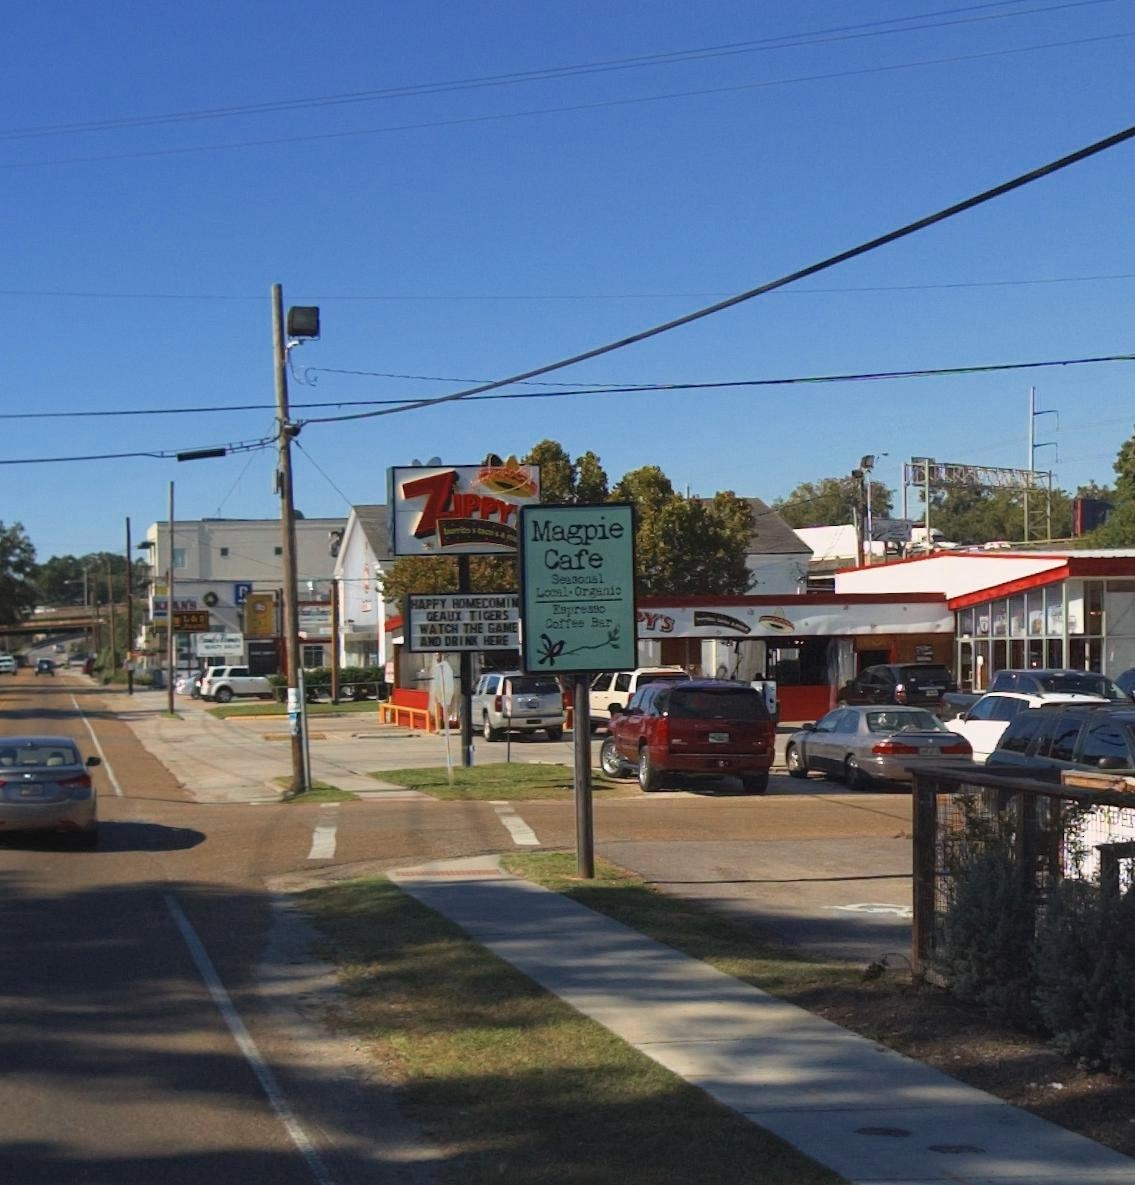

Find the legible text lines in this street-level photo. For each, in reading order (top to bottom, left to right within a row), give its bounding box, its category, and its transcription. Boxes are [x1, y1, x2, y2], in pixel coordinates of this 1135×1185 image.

[400, 468, 520, 541] BusinessName: ZIPPY
[530, 514, 625, 547] BusinessName: Magpie
[543, 547, 604, 571] BusinessName: Cafe
[550, 572, 605, 586] None: Seasonal
[237, 585, 251, 599] None: P
[535, 584, 623, 600] None: Local - Organic
[153, 597, 199, 613] BusinessName: K*AN'S
[408, 596, 520, 610] None: HAPPY HOMECOMIN
[424, 609, 511, 623] None: GEAUX TIGERS
[417, 621, 520, 636] None: WATCH THE GAME
[545, 616, 614, 631] None: Coffee Bar
[552, 603, 608, 619] None: Espresso
[643, 608, 675, 631] BusinessName: Y'S
[418, 634, 511, 648] None: AND DRINK HERE